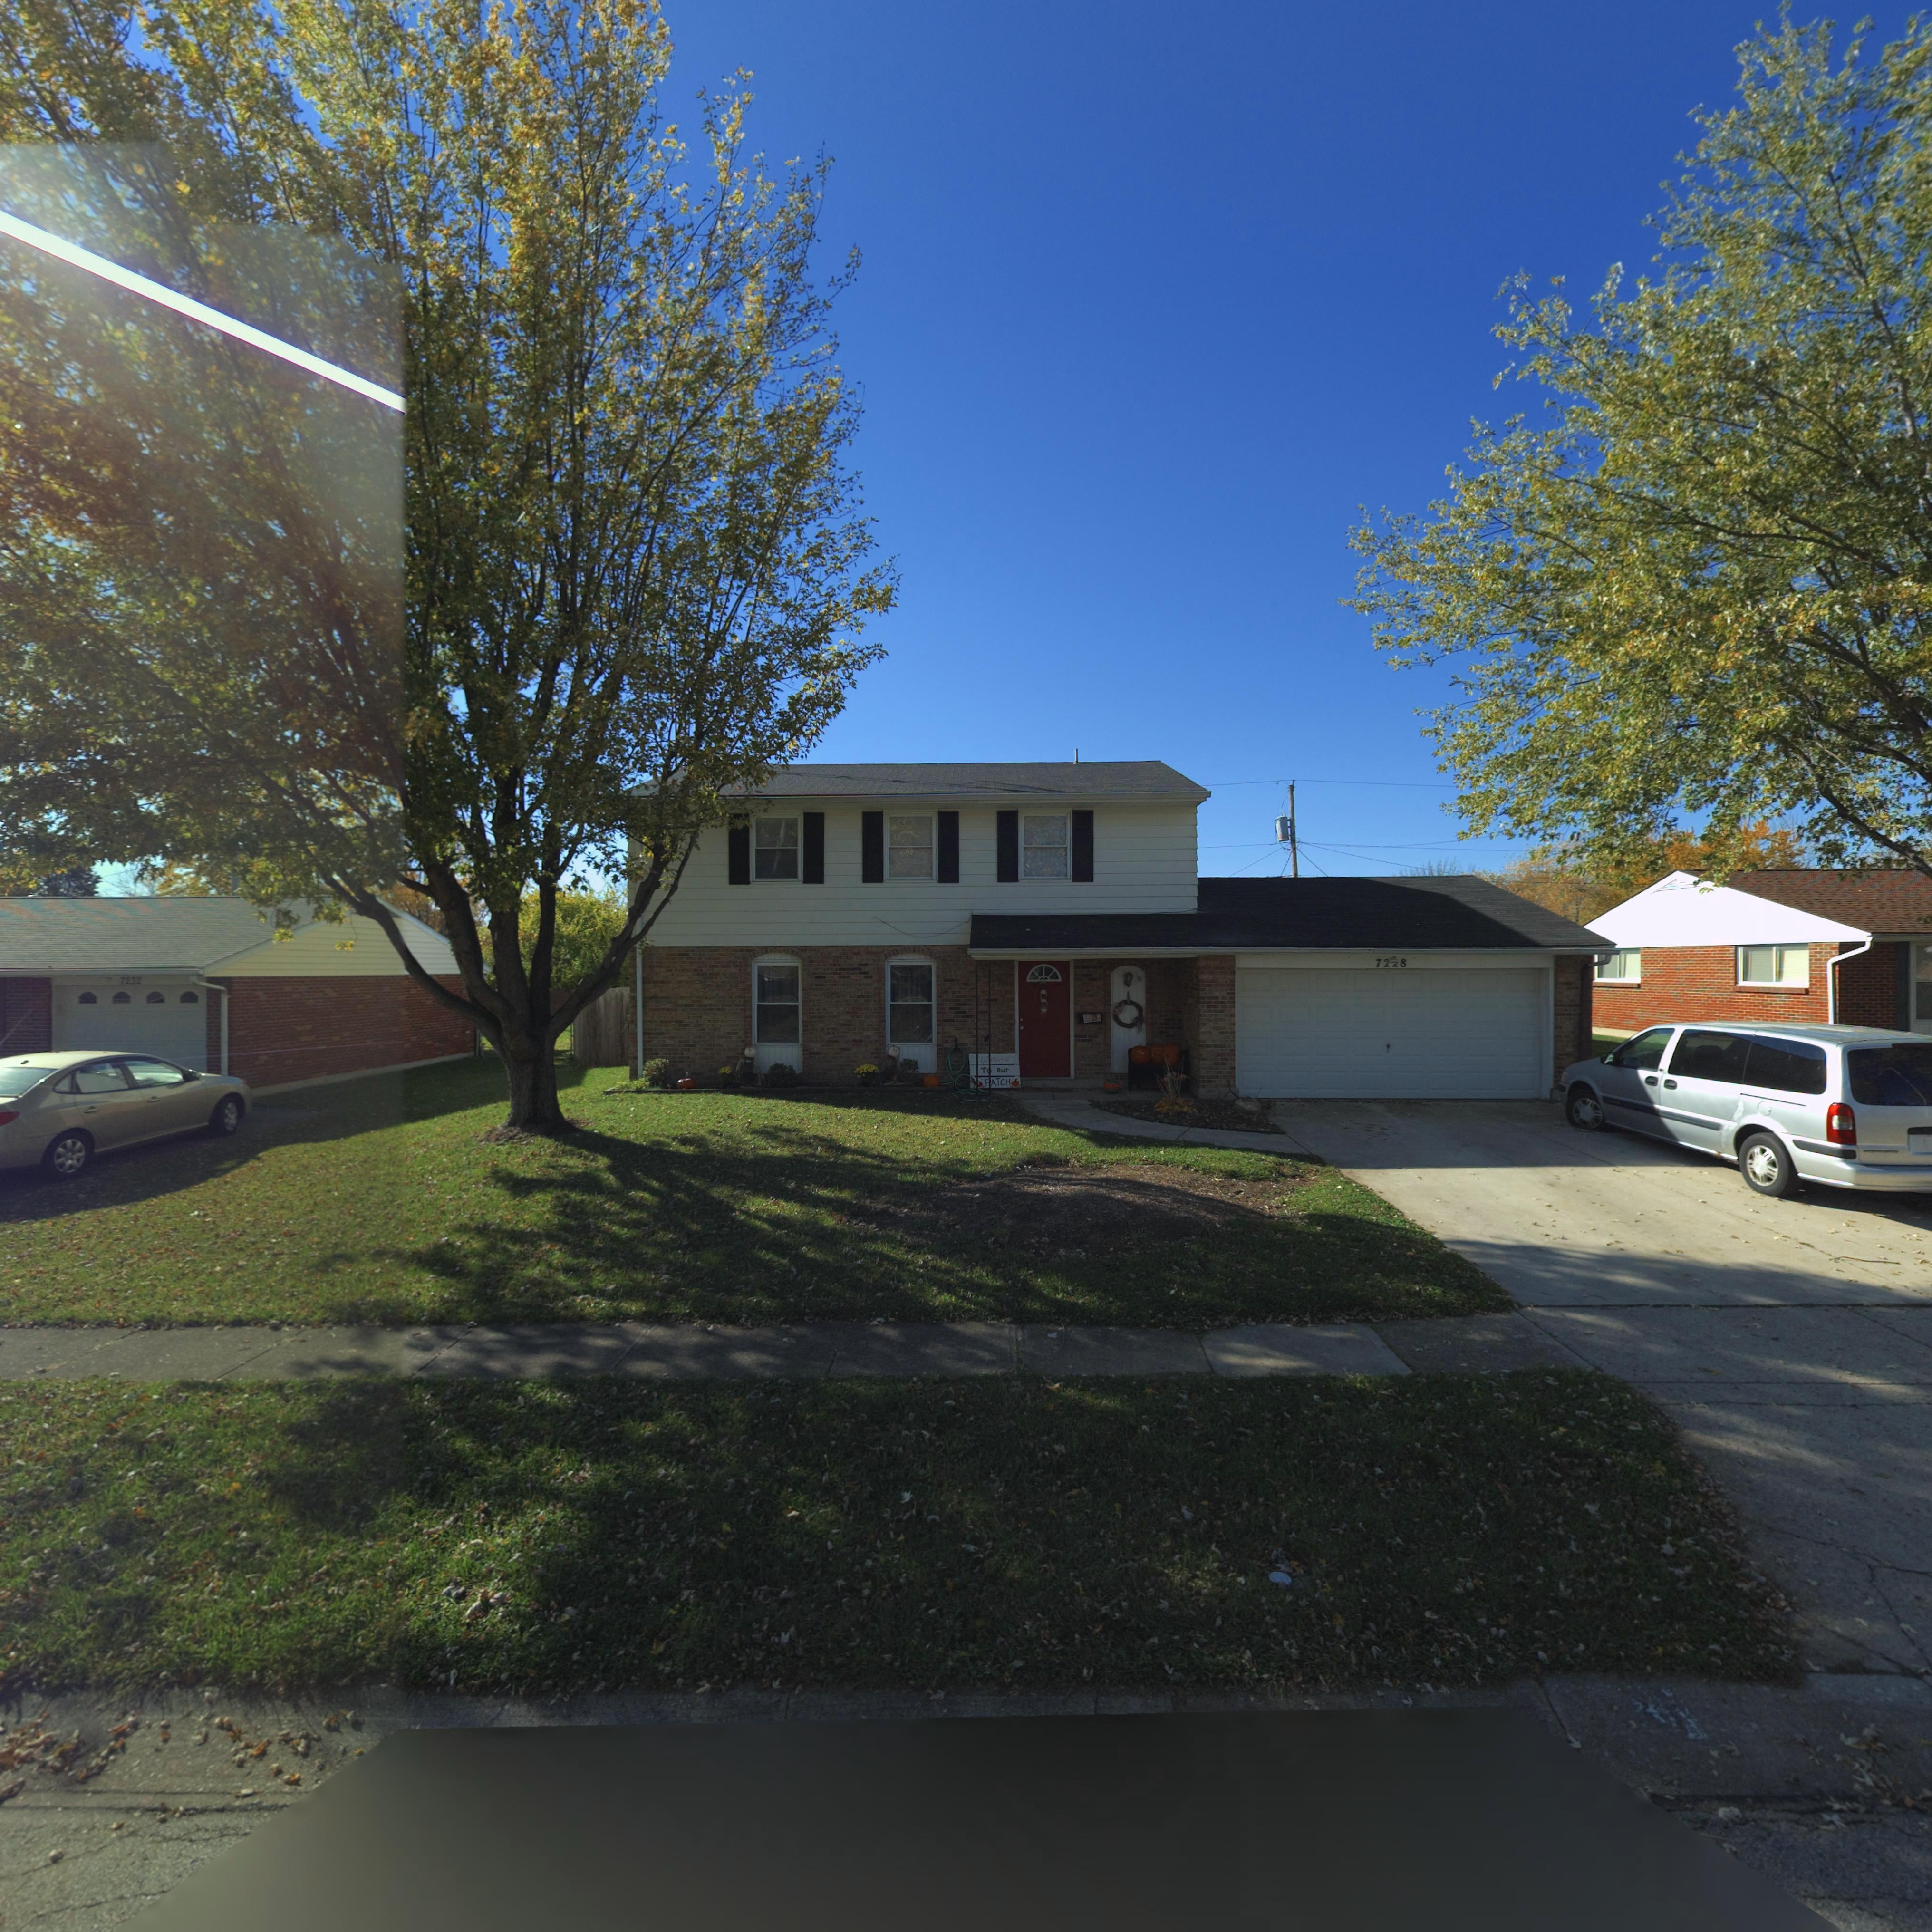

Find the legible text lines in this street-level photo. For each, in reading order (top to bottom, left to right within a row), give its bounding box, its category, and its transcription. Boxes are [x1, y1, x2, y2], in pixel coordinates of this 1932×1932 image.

[1375, 957, 1408, 969] StreetNumber: 72*8
[118, 975, 143, 986] StreetNumber: 7232